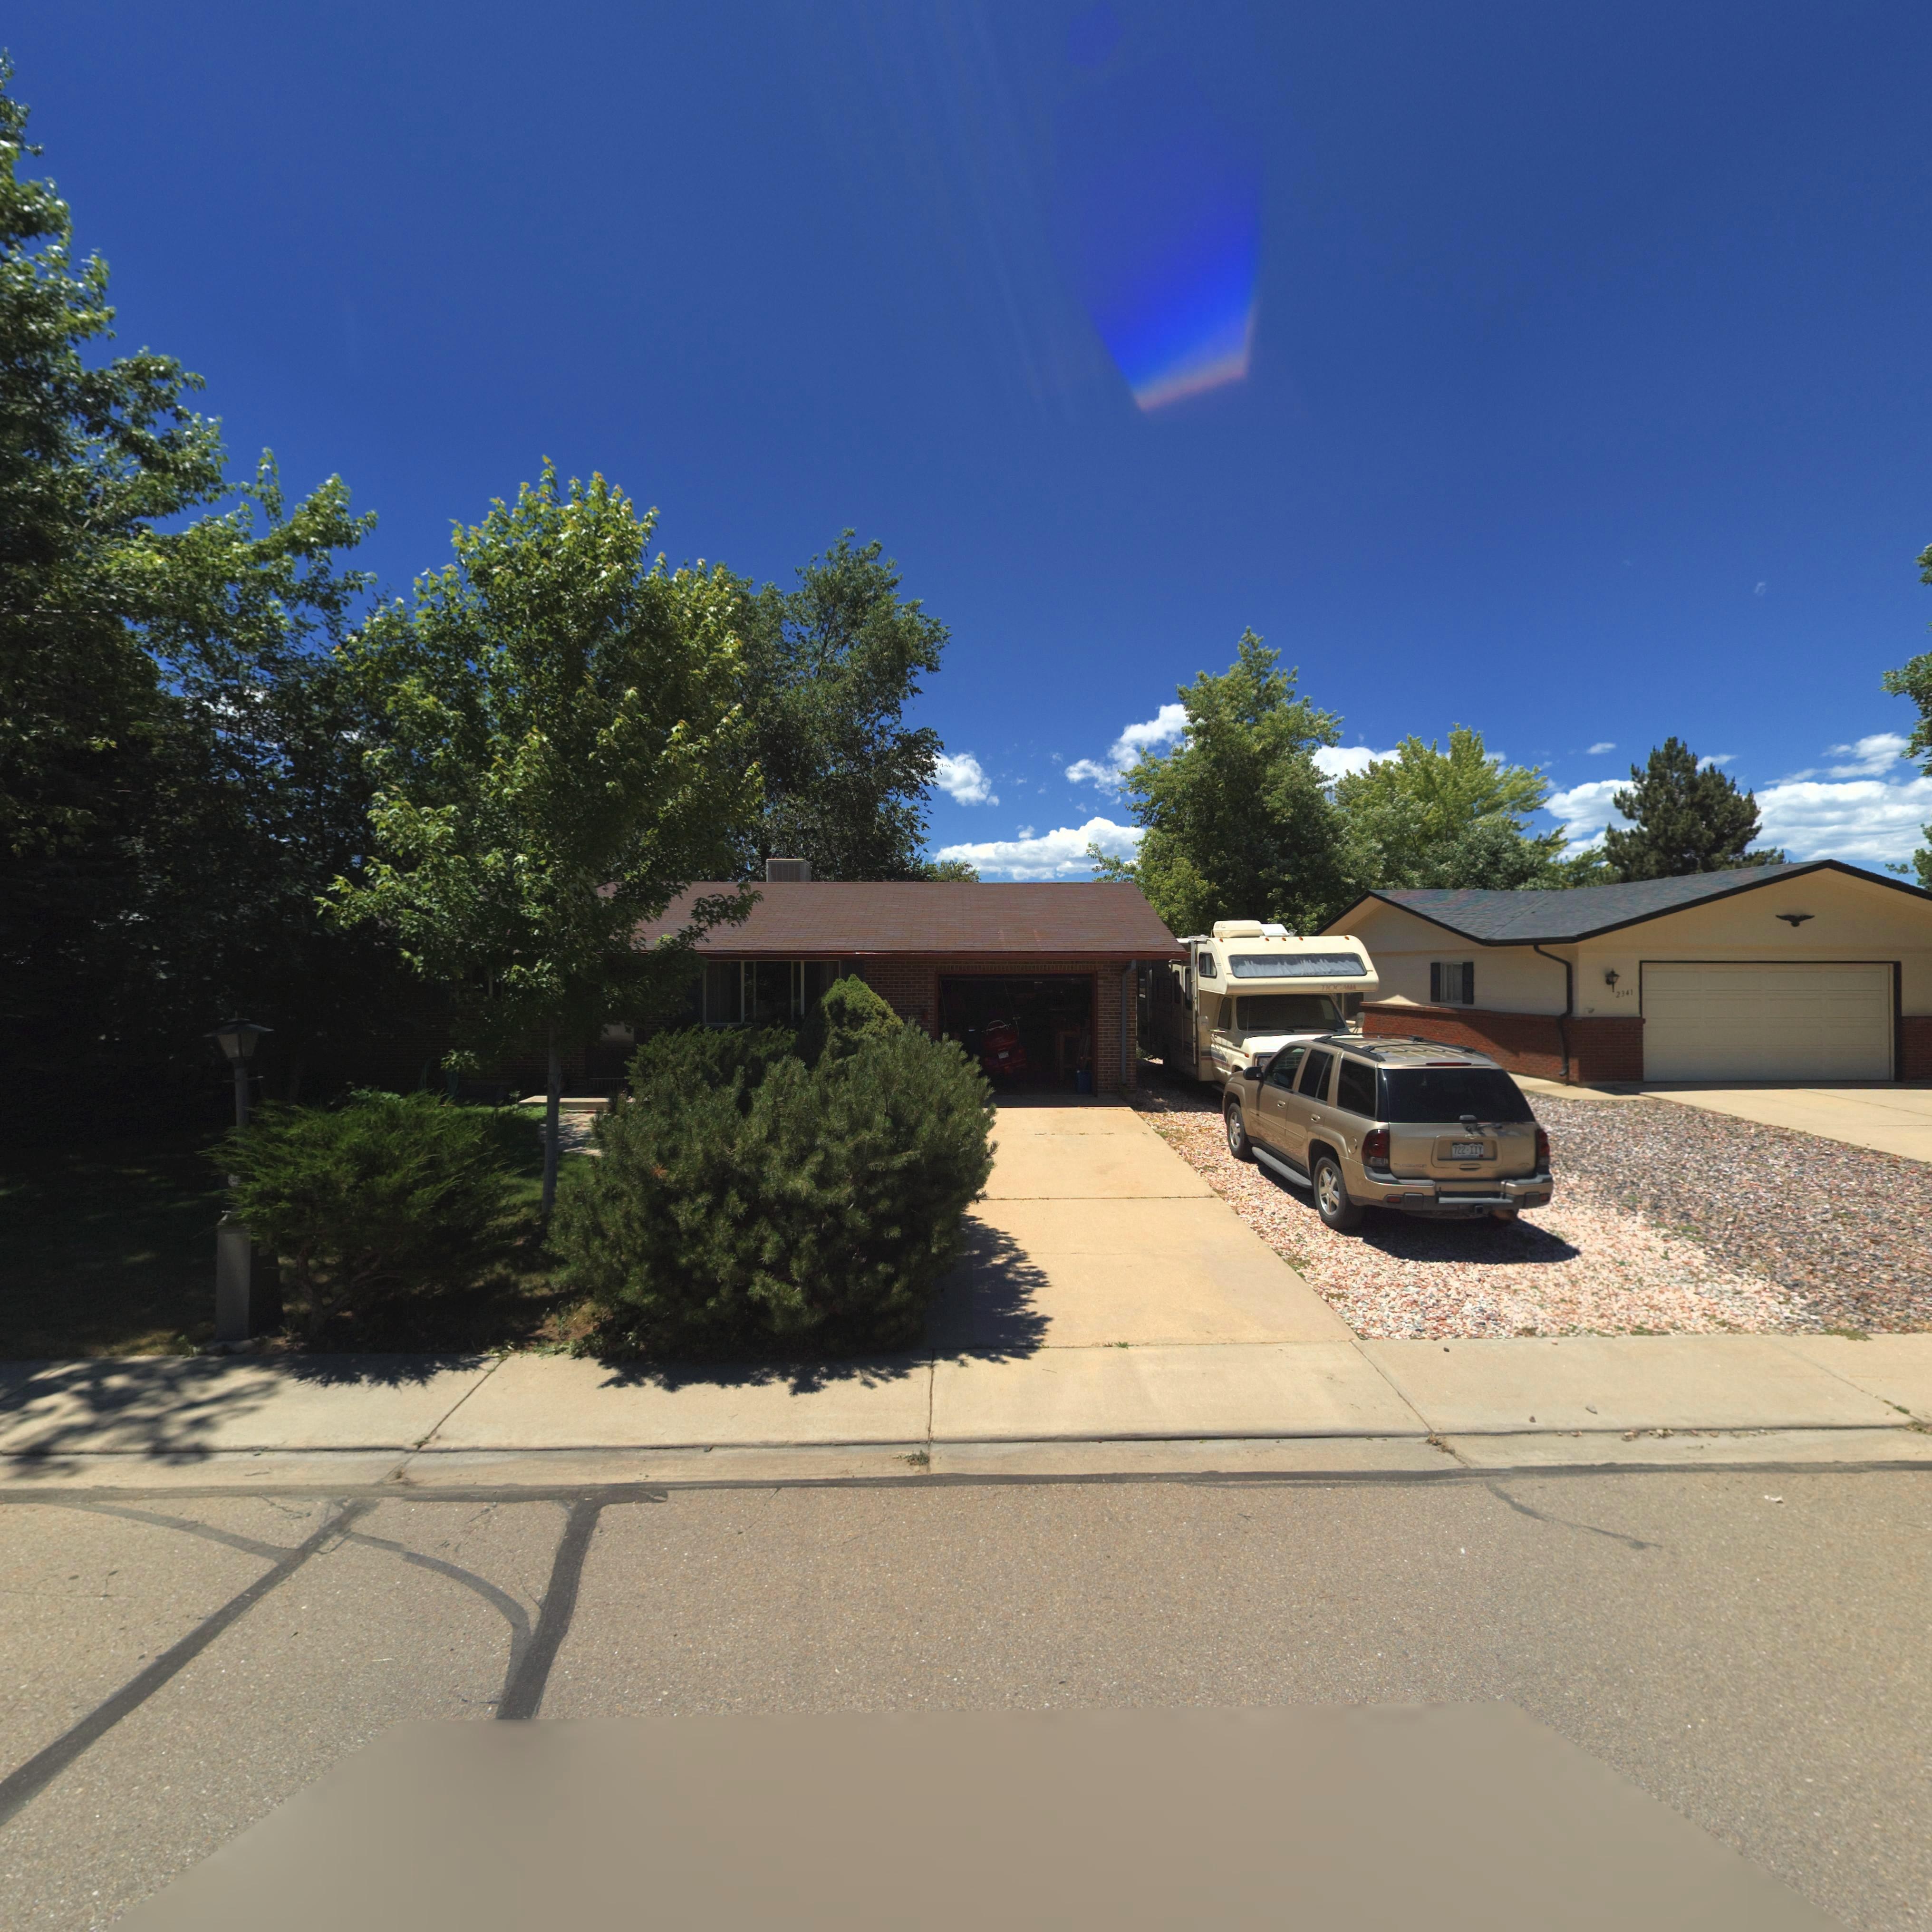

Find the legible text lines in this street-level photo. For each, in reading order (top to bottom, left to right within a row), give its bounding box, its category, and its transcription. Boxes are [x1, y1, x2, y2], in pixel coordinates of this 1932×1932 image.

[1615, 987, 1633, 998] StreetNumber: 2341